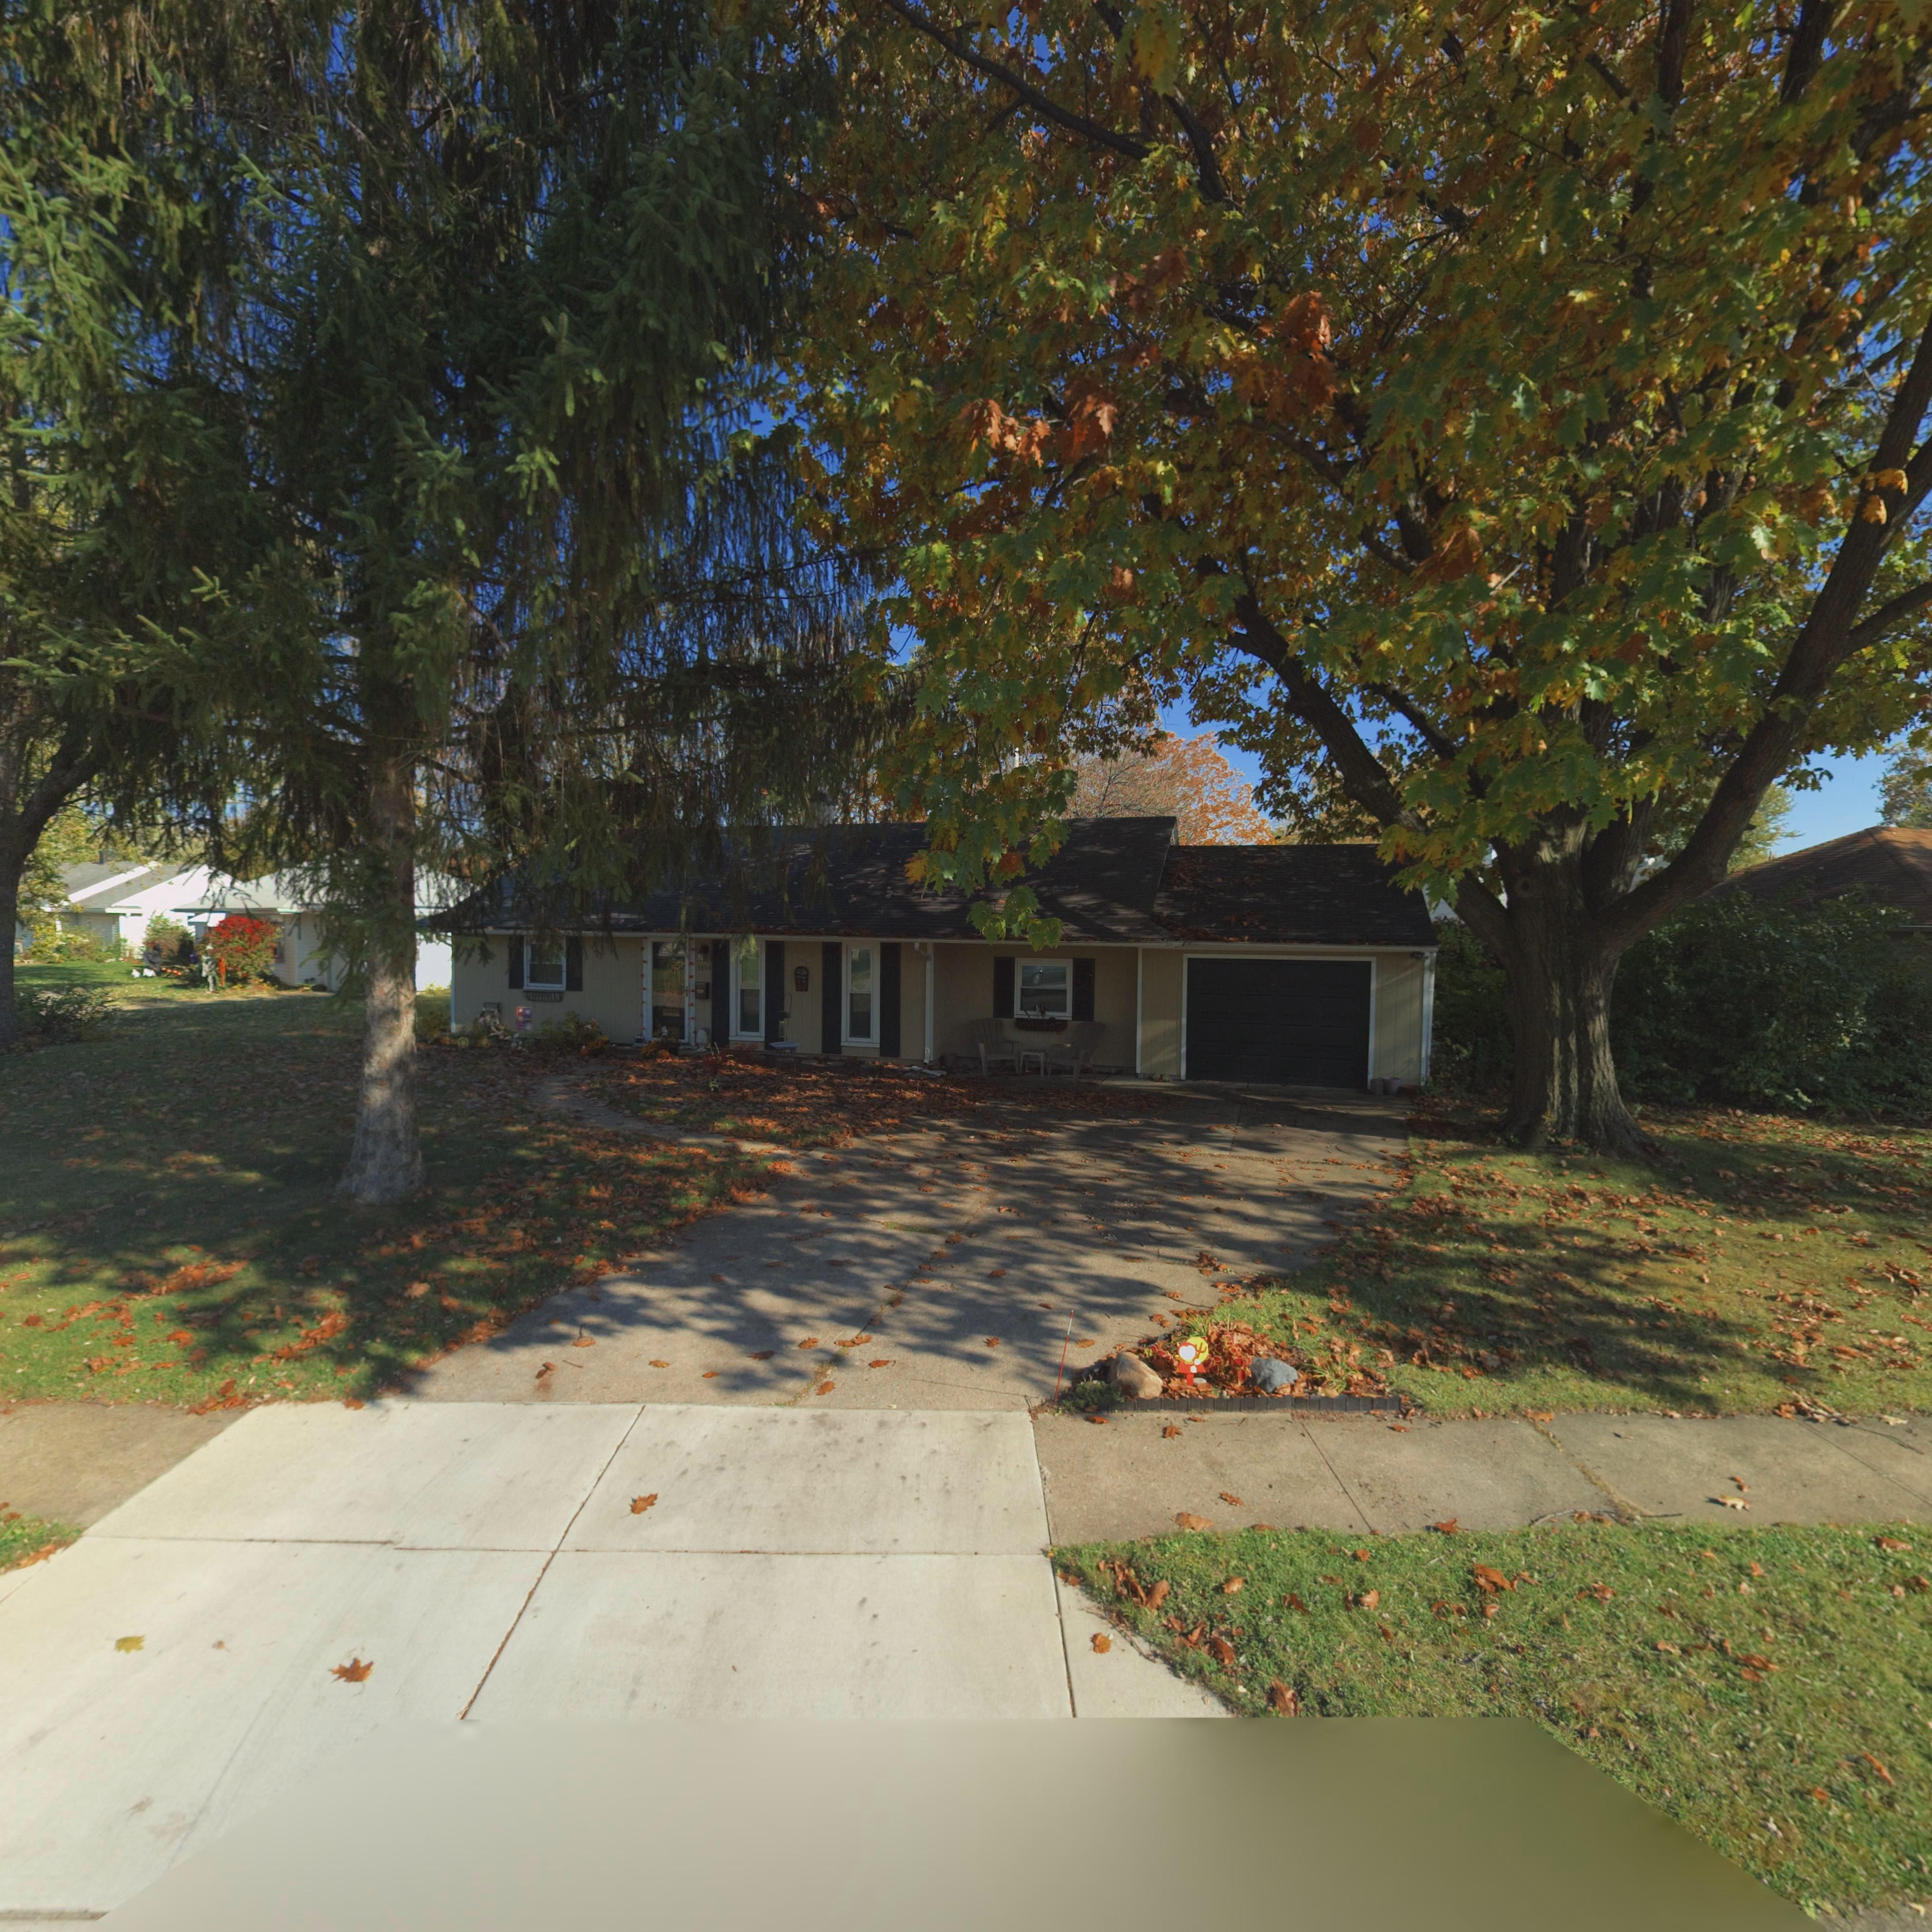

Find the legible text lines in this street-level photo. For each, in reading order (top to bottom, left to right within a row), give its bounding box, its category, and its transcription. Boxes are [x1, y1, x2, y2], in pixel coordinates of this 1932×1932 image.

[696, 963, 712, 972] StreetNumber: 3854